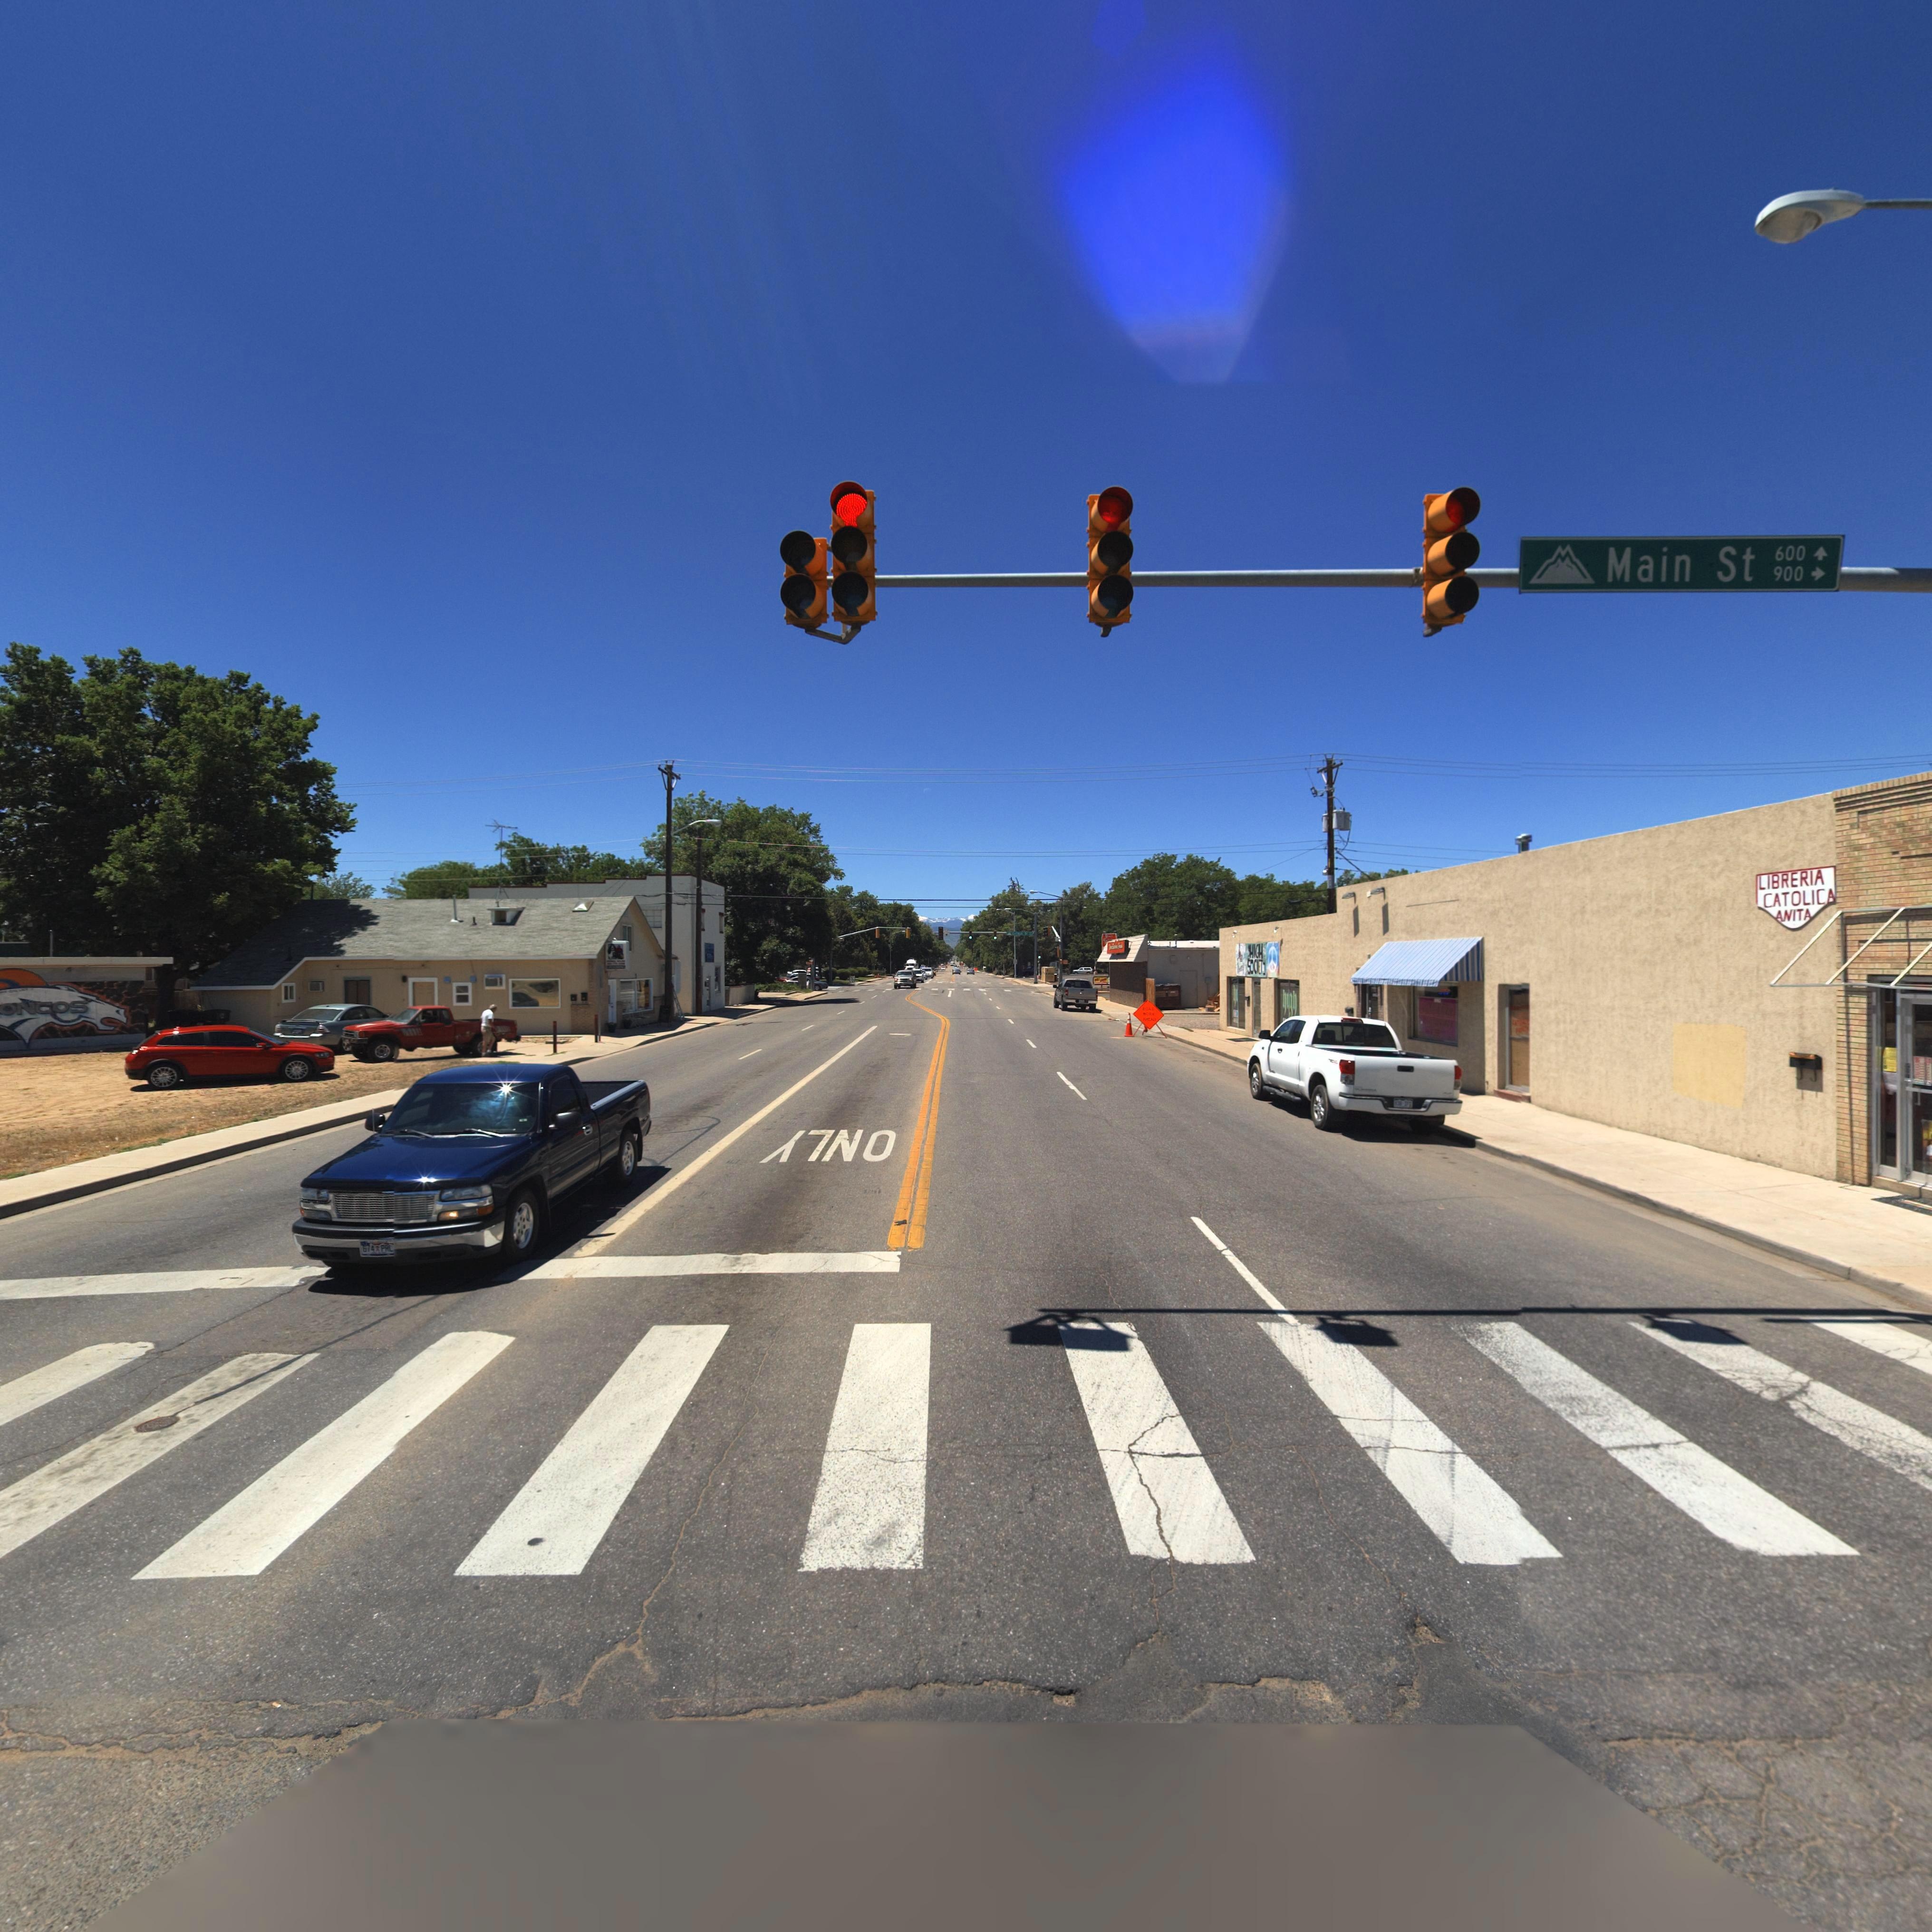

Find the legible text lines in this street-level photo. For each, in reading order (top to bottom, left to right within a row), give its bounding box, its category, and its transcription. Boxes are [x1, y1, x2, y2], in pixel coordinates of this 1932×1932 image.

[1774, 545, 1806, 561] StreetNumberRange: 600
[1607, 546, 1756, 583] StreetName: MAIN ST
[1773, 566, 1826, 581] StreetNumberRange: 900->
[1758, 869, 1825, 890] BusinessName: LIBRERIA
[1763, 888, 1836, 908] BusinessName: CATOLICA
[1775, 908, 1812, 922] BusinessName: ANITA
[1109, 942, 1122, 950] BusinessName: Butc*** F****
[1250, 943, 1263, 958] BusinessName: HIGH
[1247, 959, 1265, 975] BusinessName: SOCIETY
[1233, 985, 1238, 1006] BusinessName: hi
[1283, 989, 1296, 1015] BusinessName: high